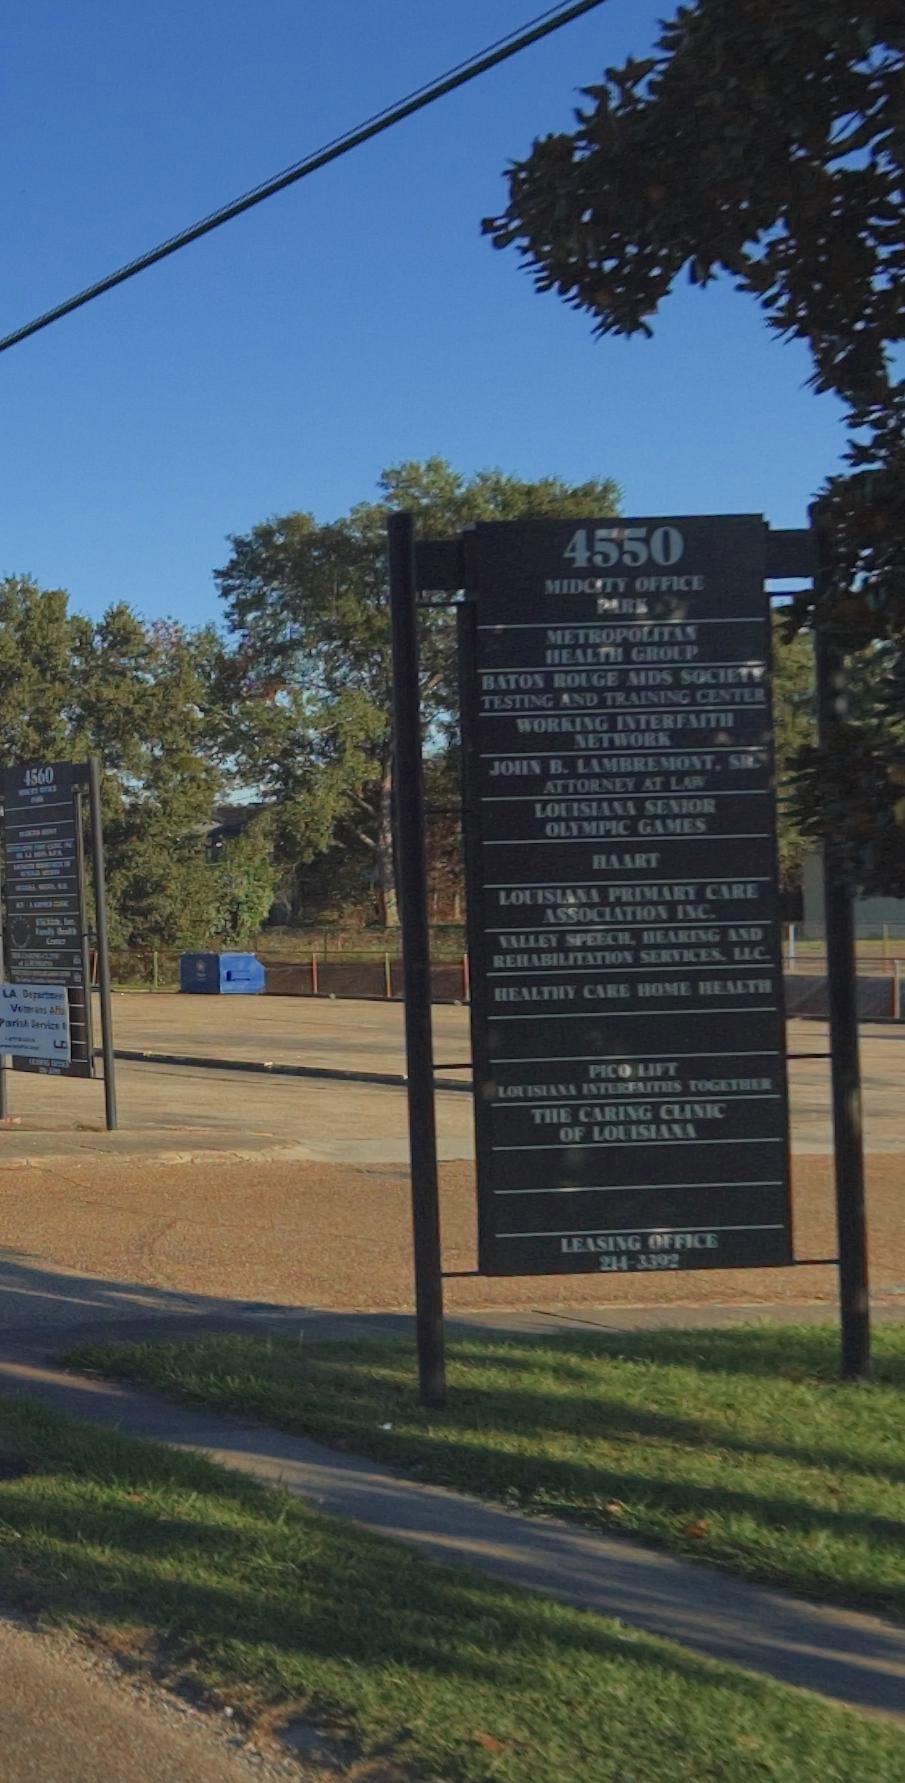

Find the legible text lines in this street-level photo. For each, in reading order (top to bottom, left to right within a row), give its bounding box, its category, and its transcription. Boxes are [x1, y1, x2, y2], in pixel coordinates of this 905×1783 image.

[560, 525, 686, 569] StreetNumber: 4550
[542, 573, 707, 597] BusinessName: MIDCITY OFFIC
[594, 596, 651, 617] BusinessName: PARK
[544, 625, 699, 647] BusinessName: METROPOLITAN
[545, 644, 700, 666] BusinessName: HEALTH GROUP
[480, 666, 767, 692] BusinessName: BATON ROUGE AIDS SOCIETY
[479, 687, 767, 710] BusinessName: TESTING AND TRAINING CENTER
[515, 711, 734, 735] BusinessName: WORKING INTERFAITH
[570, 729, 676, 750] BusinessName: NETWORK
[21, 765, 55, 789] StreetNumber: 4560
[487, 752, 761, 778] BusinessName: JOHN B. LAMBREMONT, SR.
[542, 775, 709, 795] BusinessName: ATTORNEY AT LAW
[532, 796, 718, 819] BusinessName: LOUISANA SENIOR
[545, 816, 707, 838] BusinessName: OLYMPIC GAMES
[590, 851, 661, 871] BusinessName: HAART
[498, 882, 758, 907] BusinessName: LOUISANA PRIMARY CARE
[541, 902, 716, 925] BusinessName: ASSOCIATION INC.
[498, 926, 763, 950] BusinessName: VALLEY SPEECH, HEARING AND
[491, 945, 774, 969] BusinessName: REHABILITATION SERVICES,LLC.
[1, 987, 18, 1000] None: LA
[494, 977, 773, 1003] BusinessName: HEALTHY CARE HOME HEALTH
[588, 1060, 680, 1080] BusinessName: PICO LIFT
[496, 1075, 774, 1100] BusinessName: LOUISANA INTERFAITHS TOGETHER
[529, 1101, 729, 1126] BusinessName: THE CARING CLINIC
[558, 1121, 700, 1144] BusinessName: OF LOUISANA
[553, 1224, 722, 1253] BusinessName: LEASING OFFICE
[581, 1247, 700, 1274] None: 214-3392